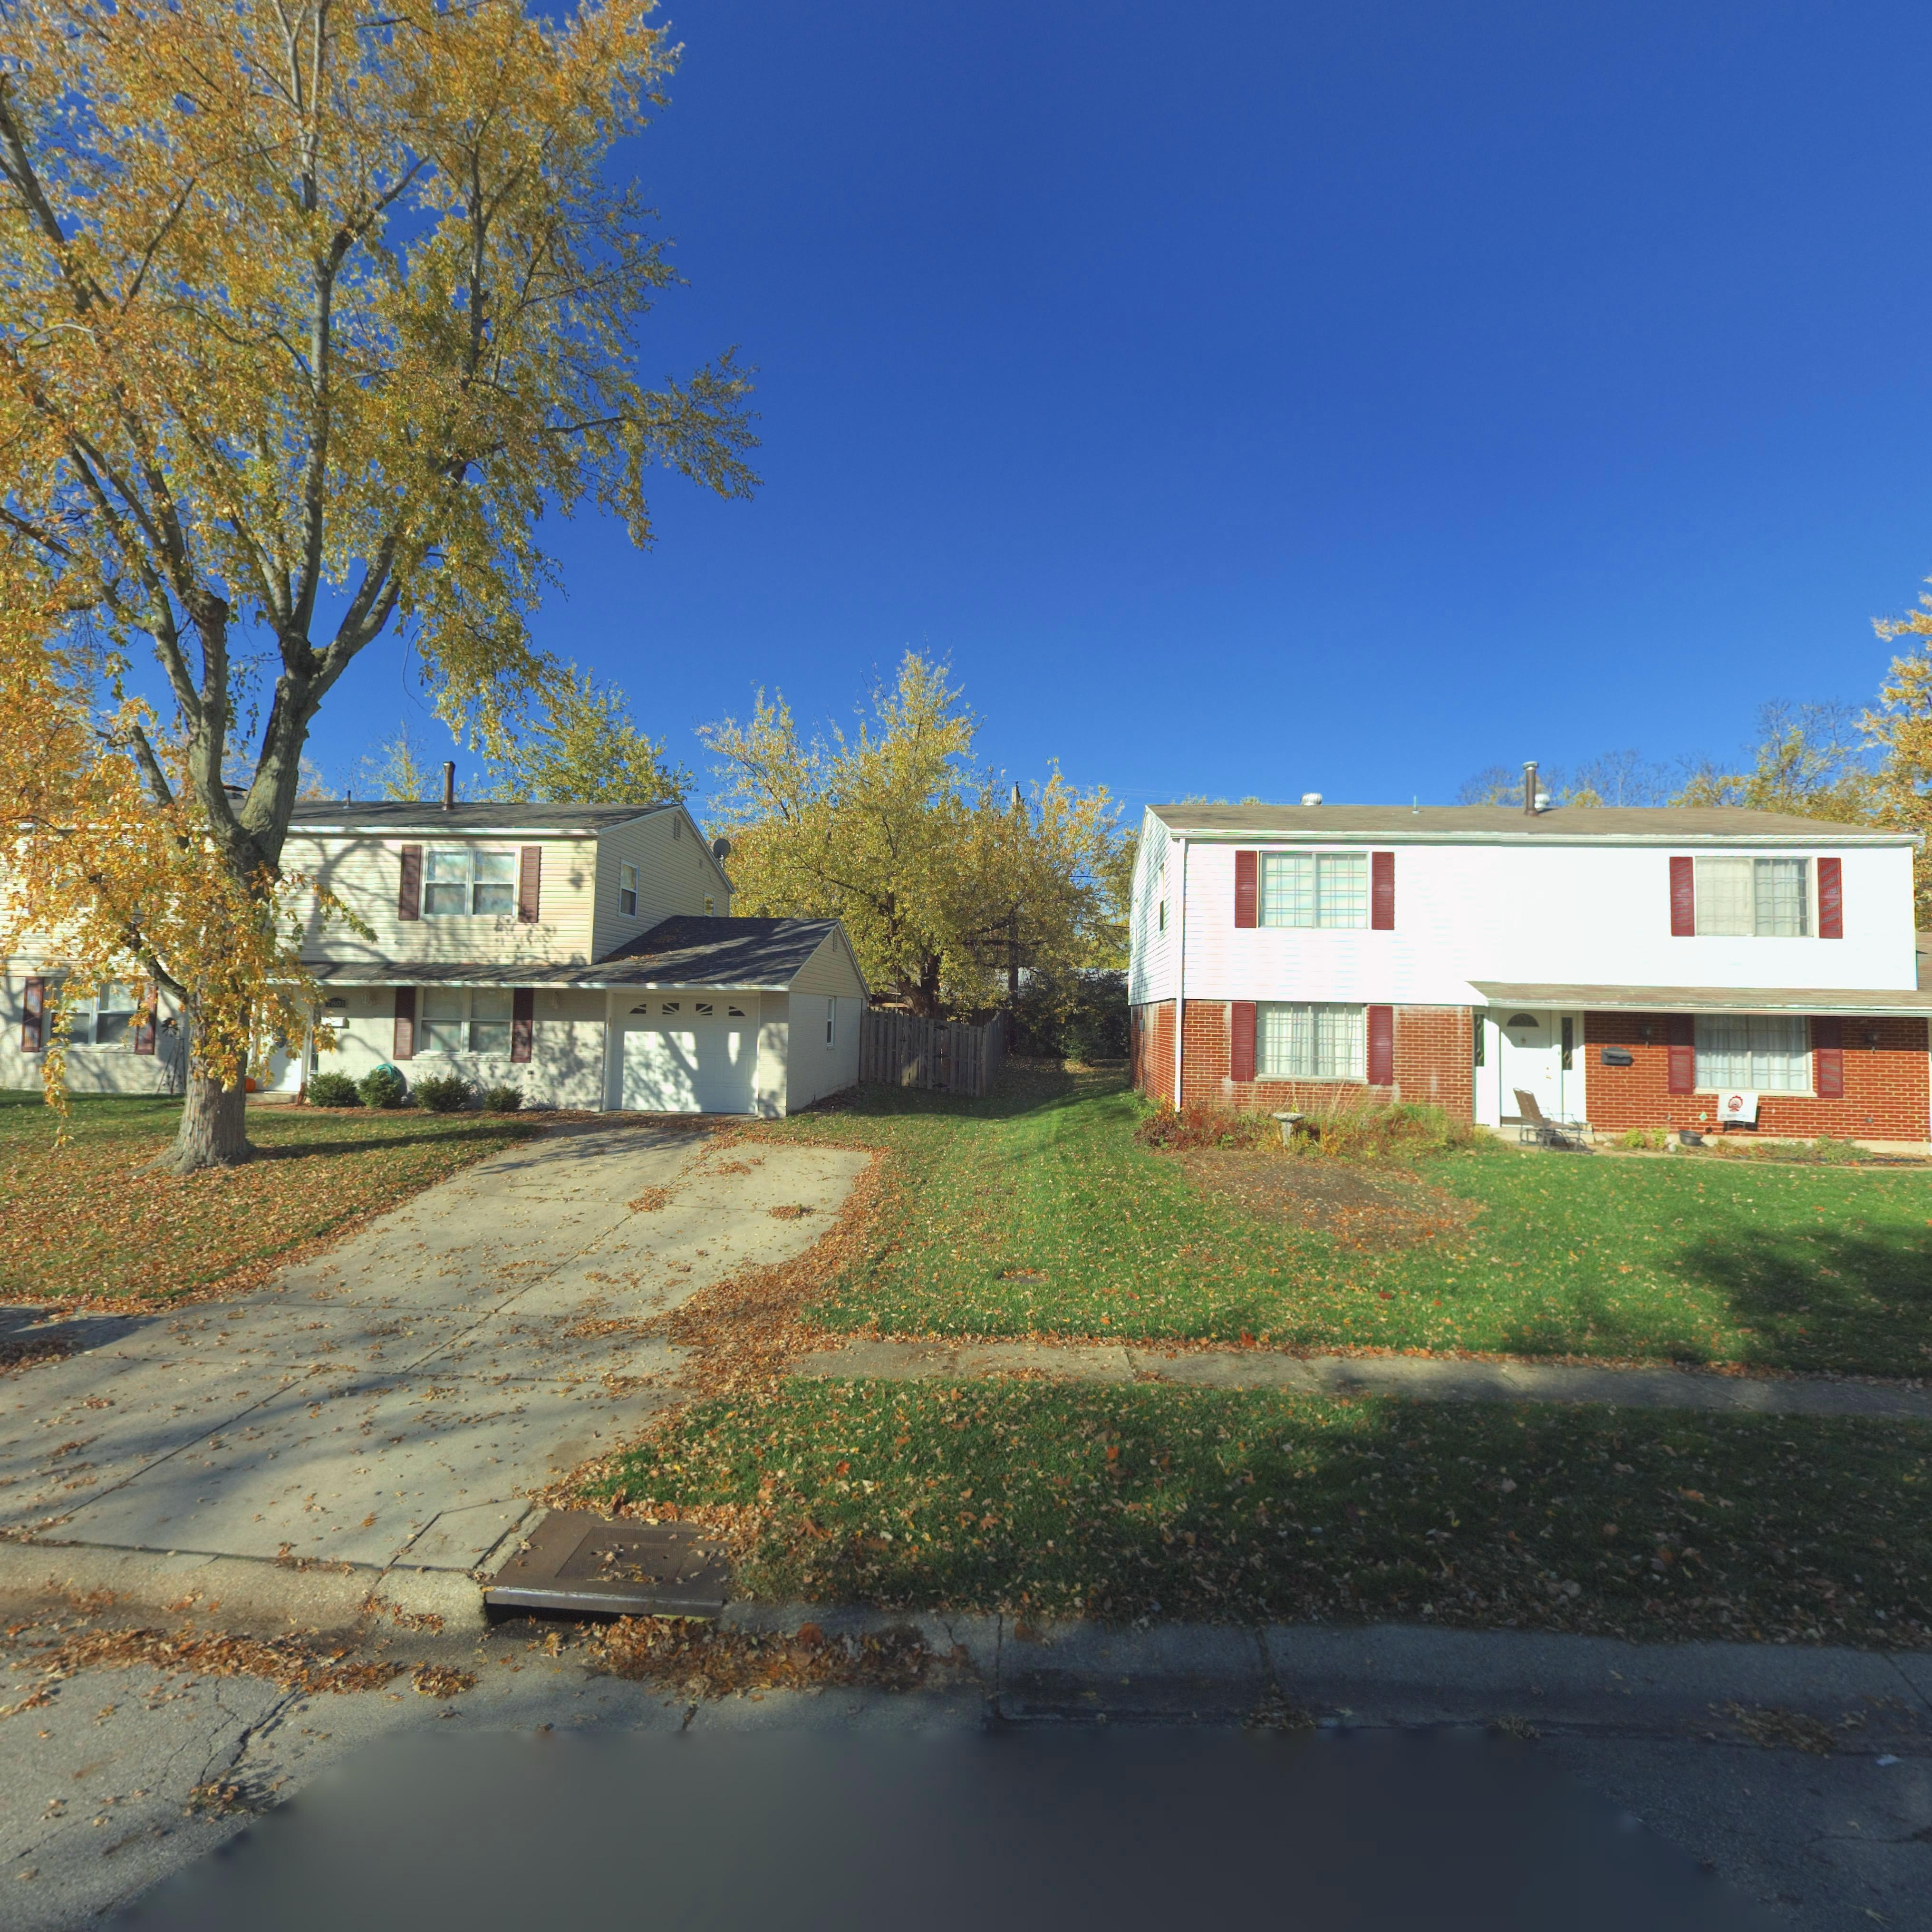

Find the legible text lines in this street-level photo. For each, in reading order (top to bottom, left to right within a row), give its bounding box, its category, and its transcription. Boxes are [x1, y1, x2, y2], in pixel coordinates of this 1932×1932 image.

[326, 999, 346, 1008] StreetNumber: 7801
[1578, 1122, 1589, 1132] StreetNumber: 07